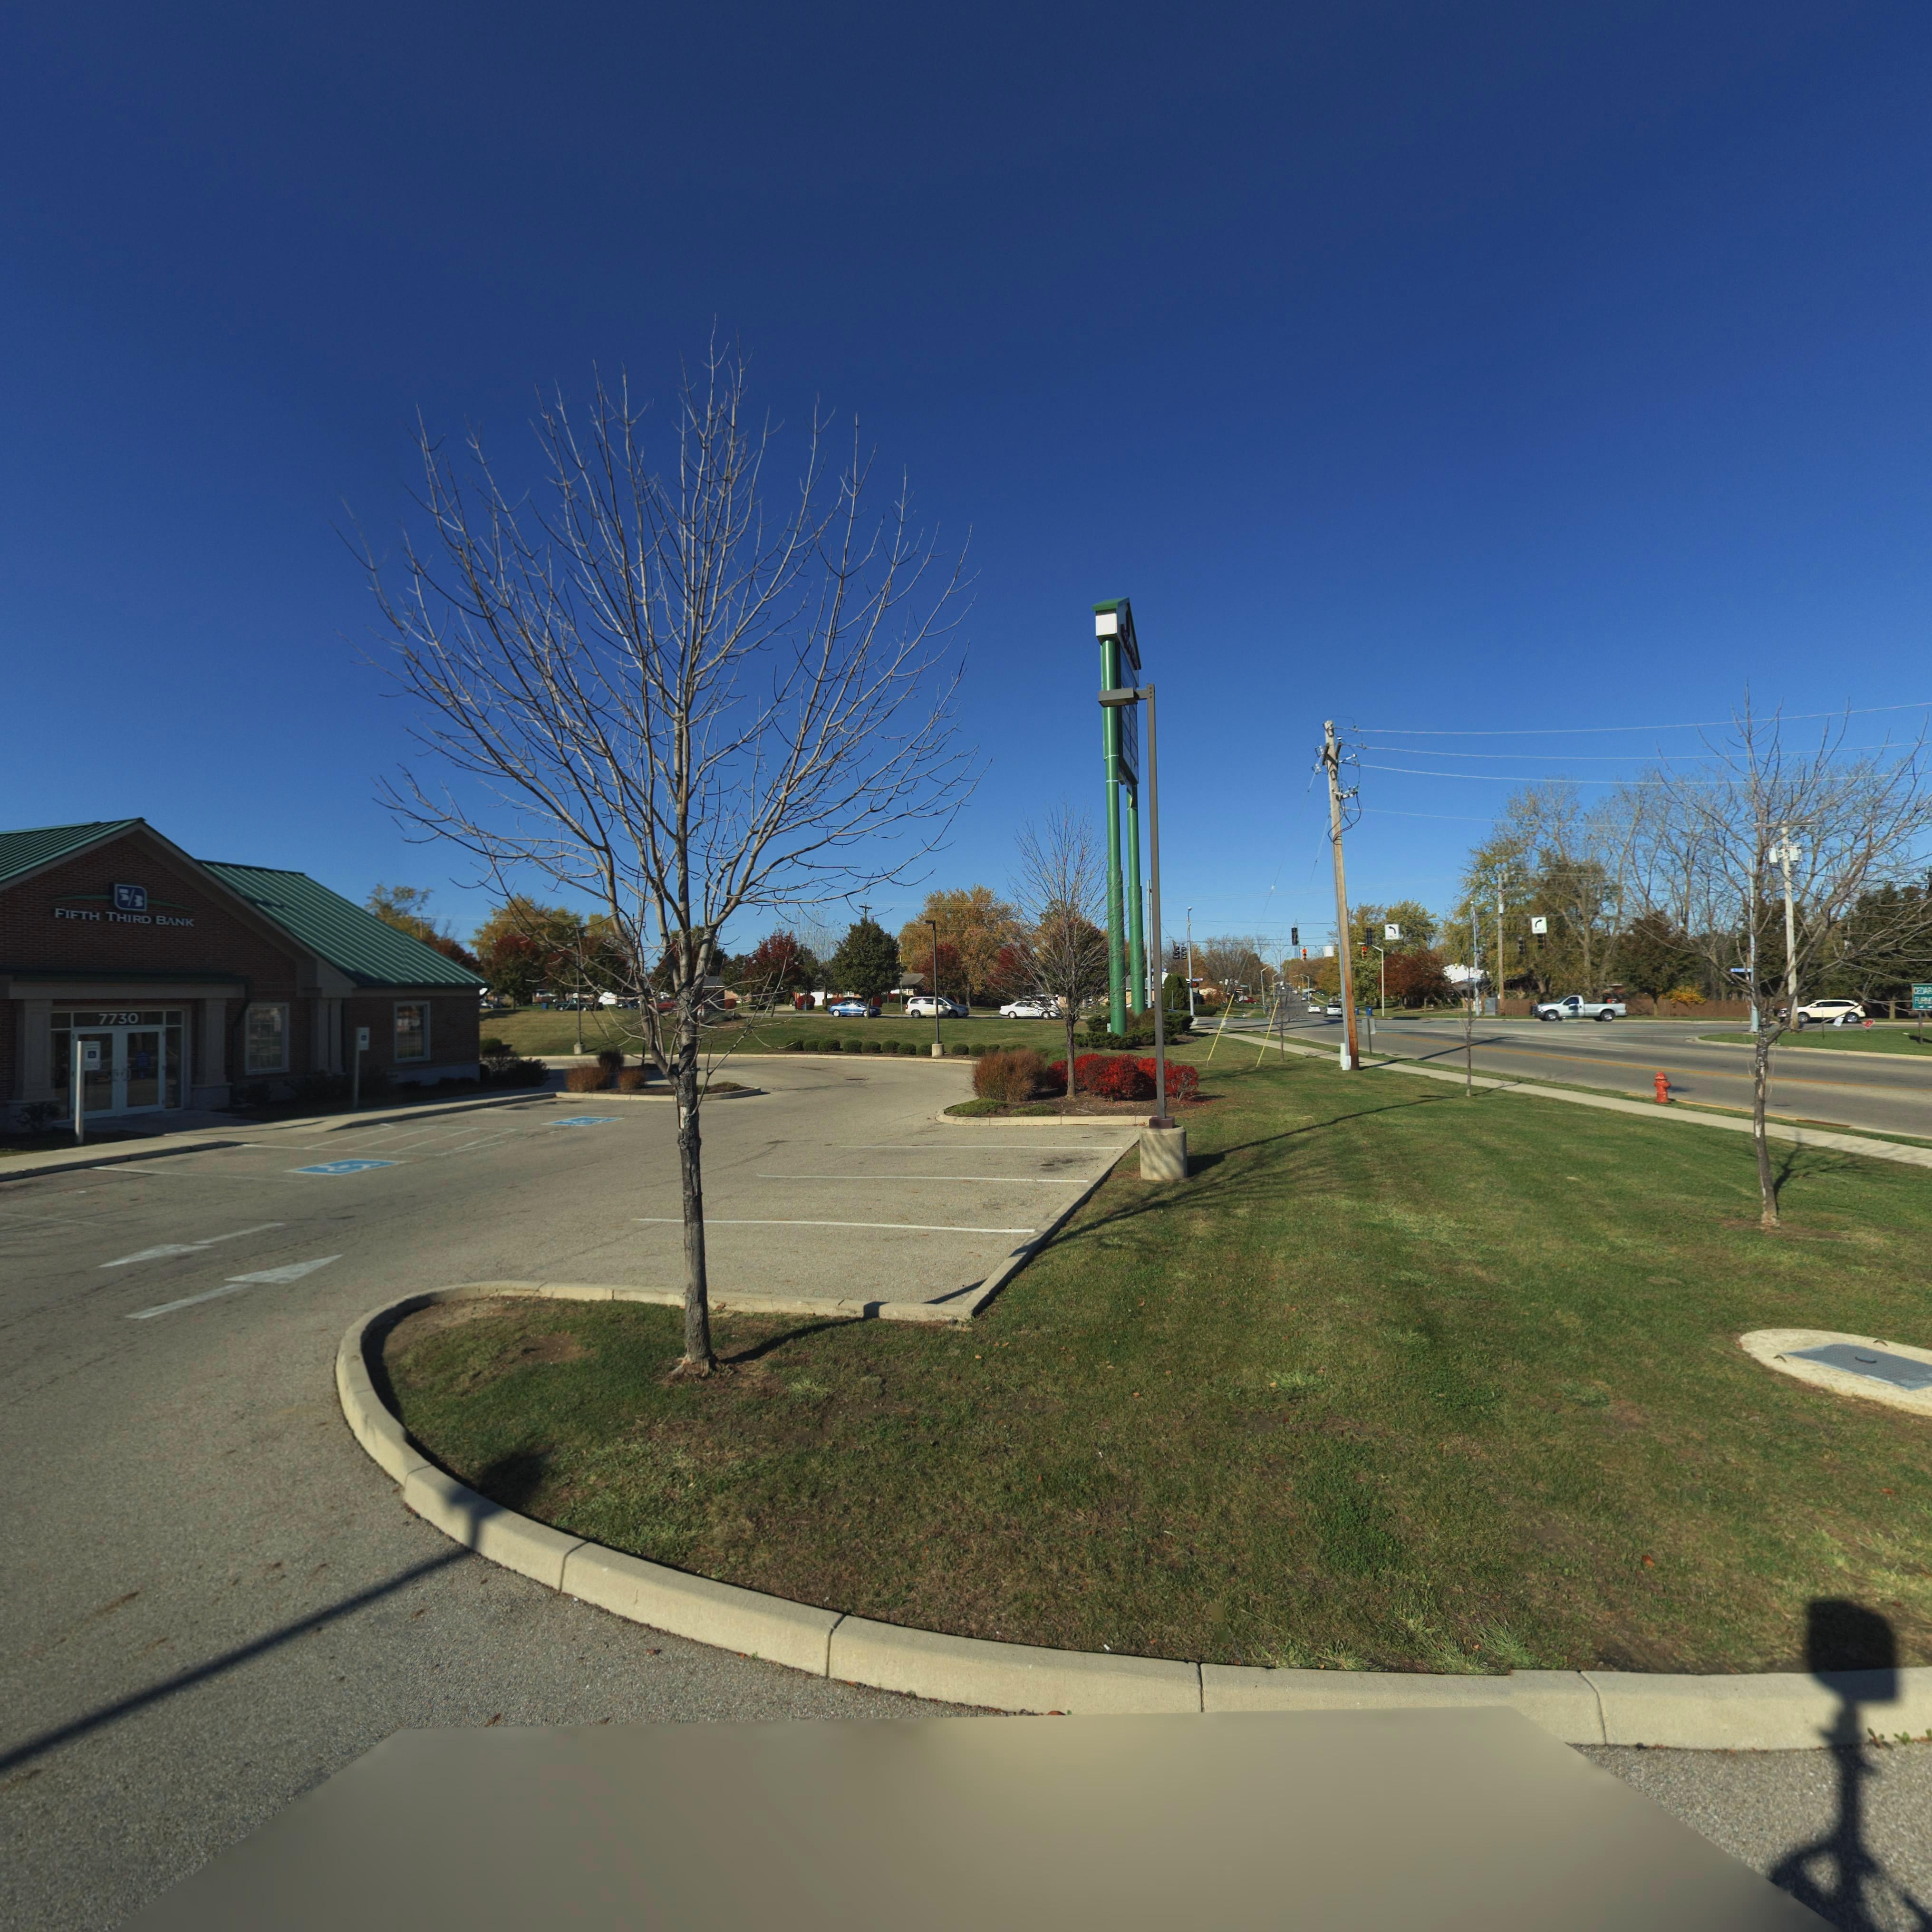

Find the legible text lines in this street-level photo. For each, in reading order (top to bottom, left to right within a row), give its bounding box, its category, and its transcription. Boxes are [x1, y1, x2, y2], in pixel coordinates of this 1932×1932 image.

[54, 907, 195, 927] BusinessName: FIFTH THIRD BANK
[97, 1012, 140, 1026] StreetNumber: 7730